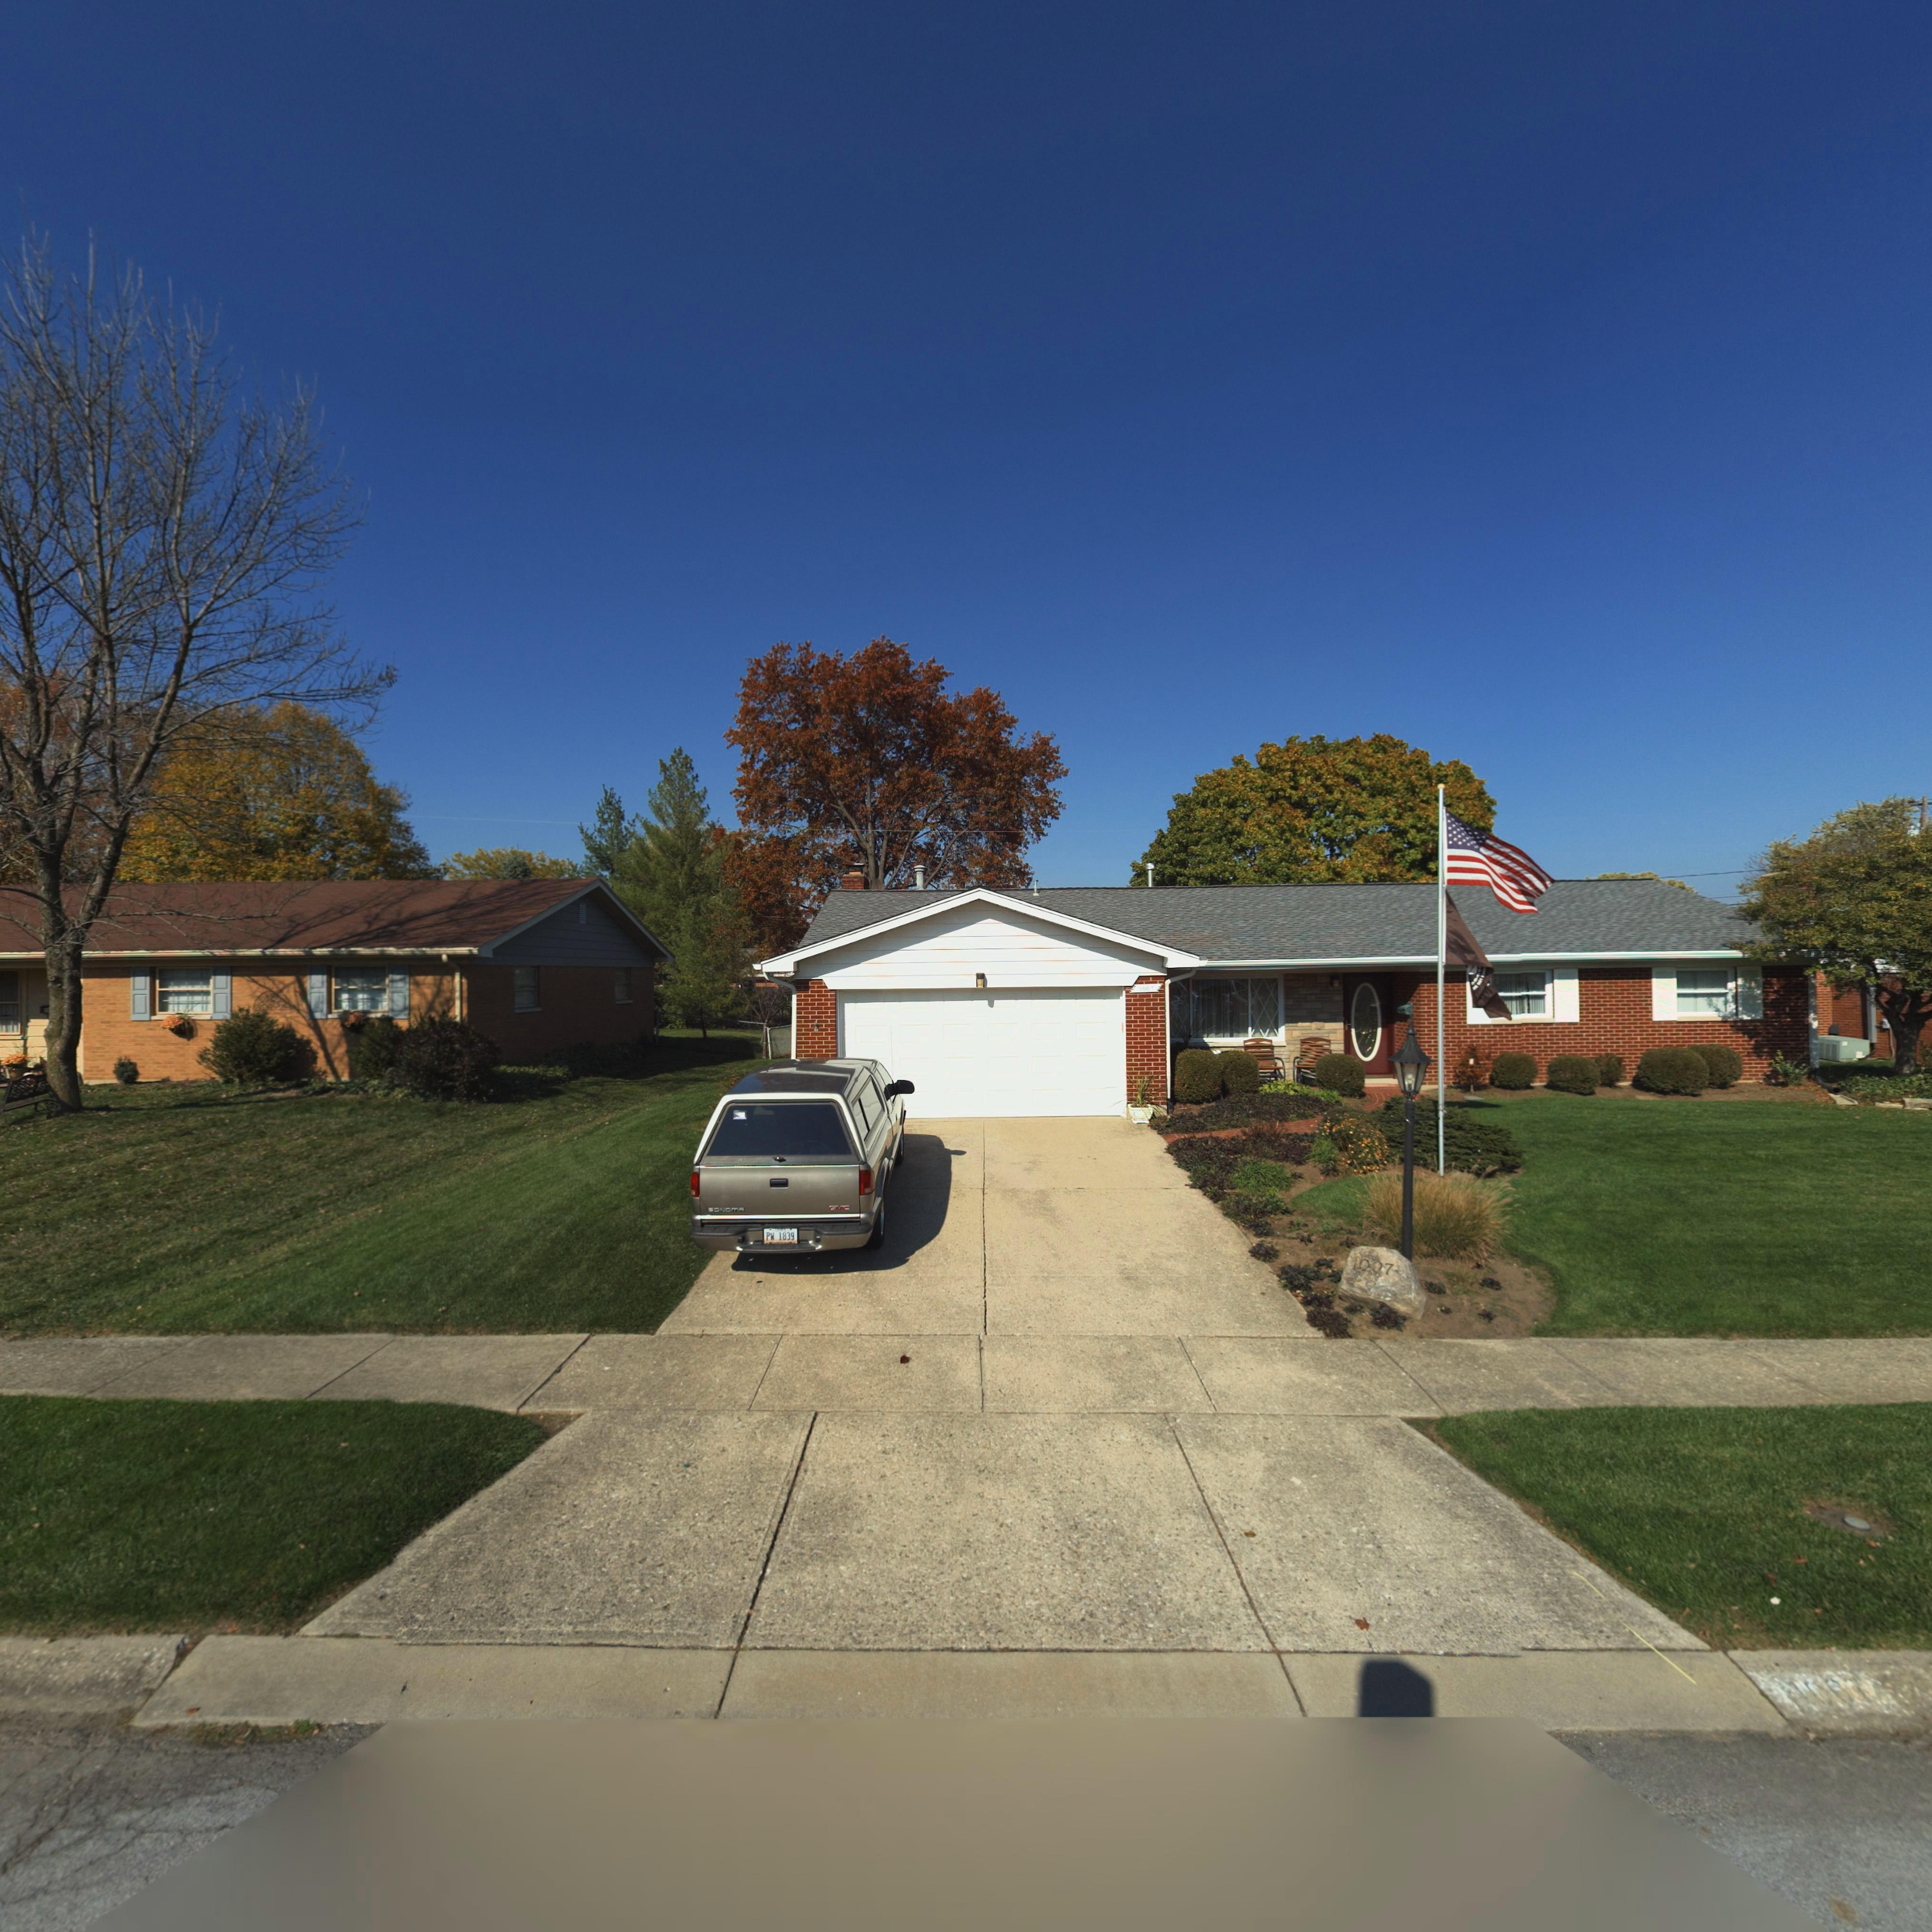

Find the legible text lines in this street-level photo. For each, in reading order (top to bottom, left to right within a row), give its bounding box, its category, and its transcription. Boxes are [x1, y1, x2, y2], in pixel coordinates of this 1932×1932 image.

[1140, 986, 1154, 992] StreetNumber: 1007
[1352, 1256, 1395, 1276] StreetNumber: 1007
[1783, 1675, 1874, 1709] StreetNumber: 1007